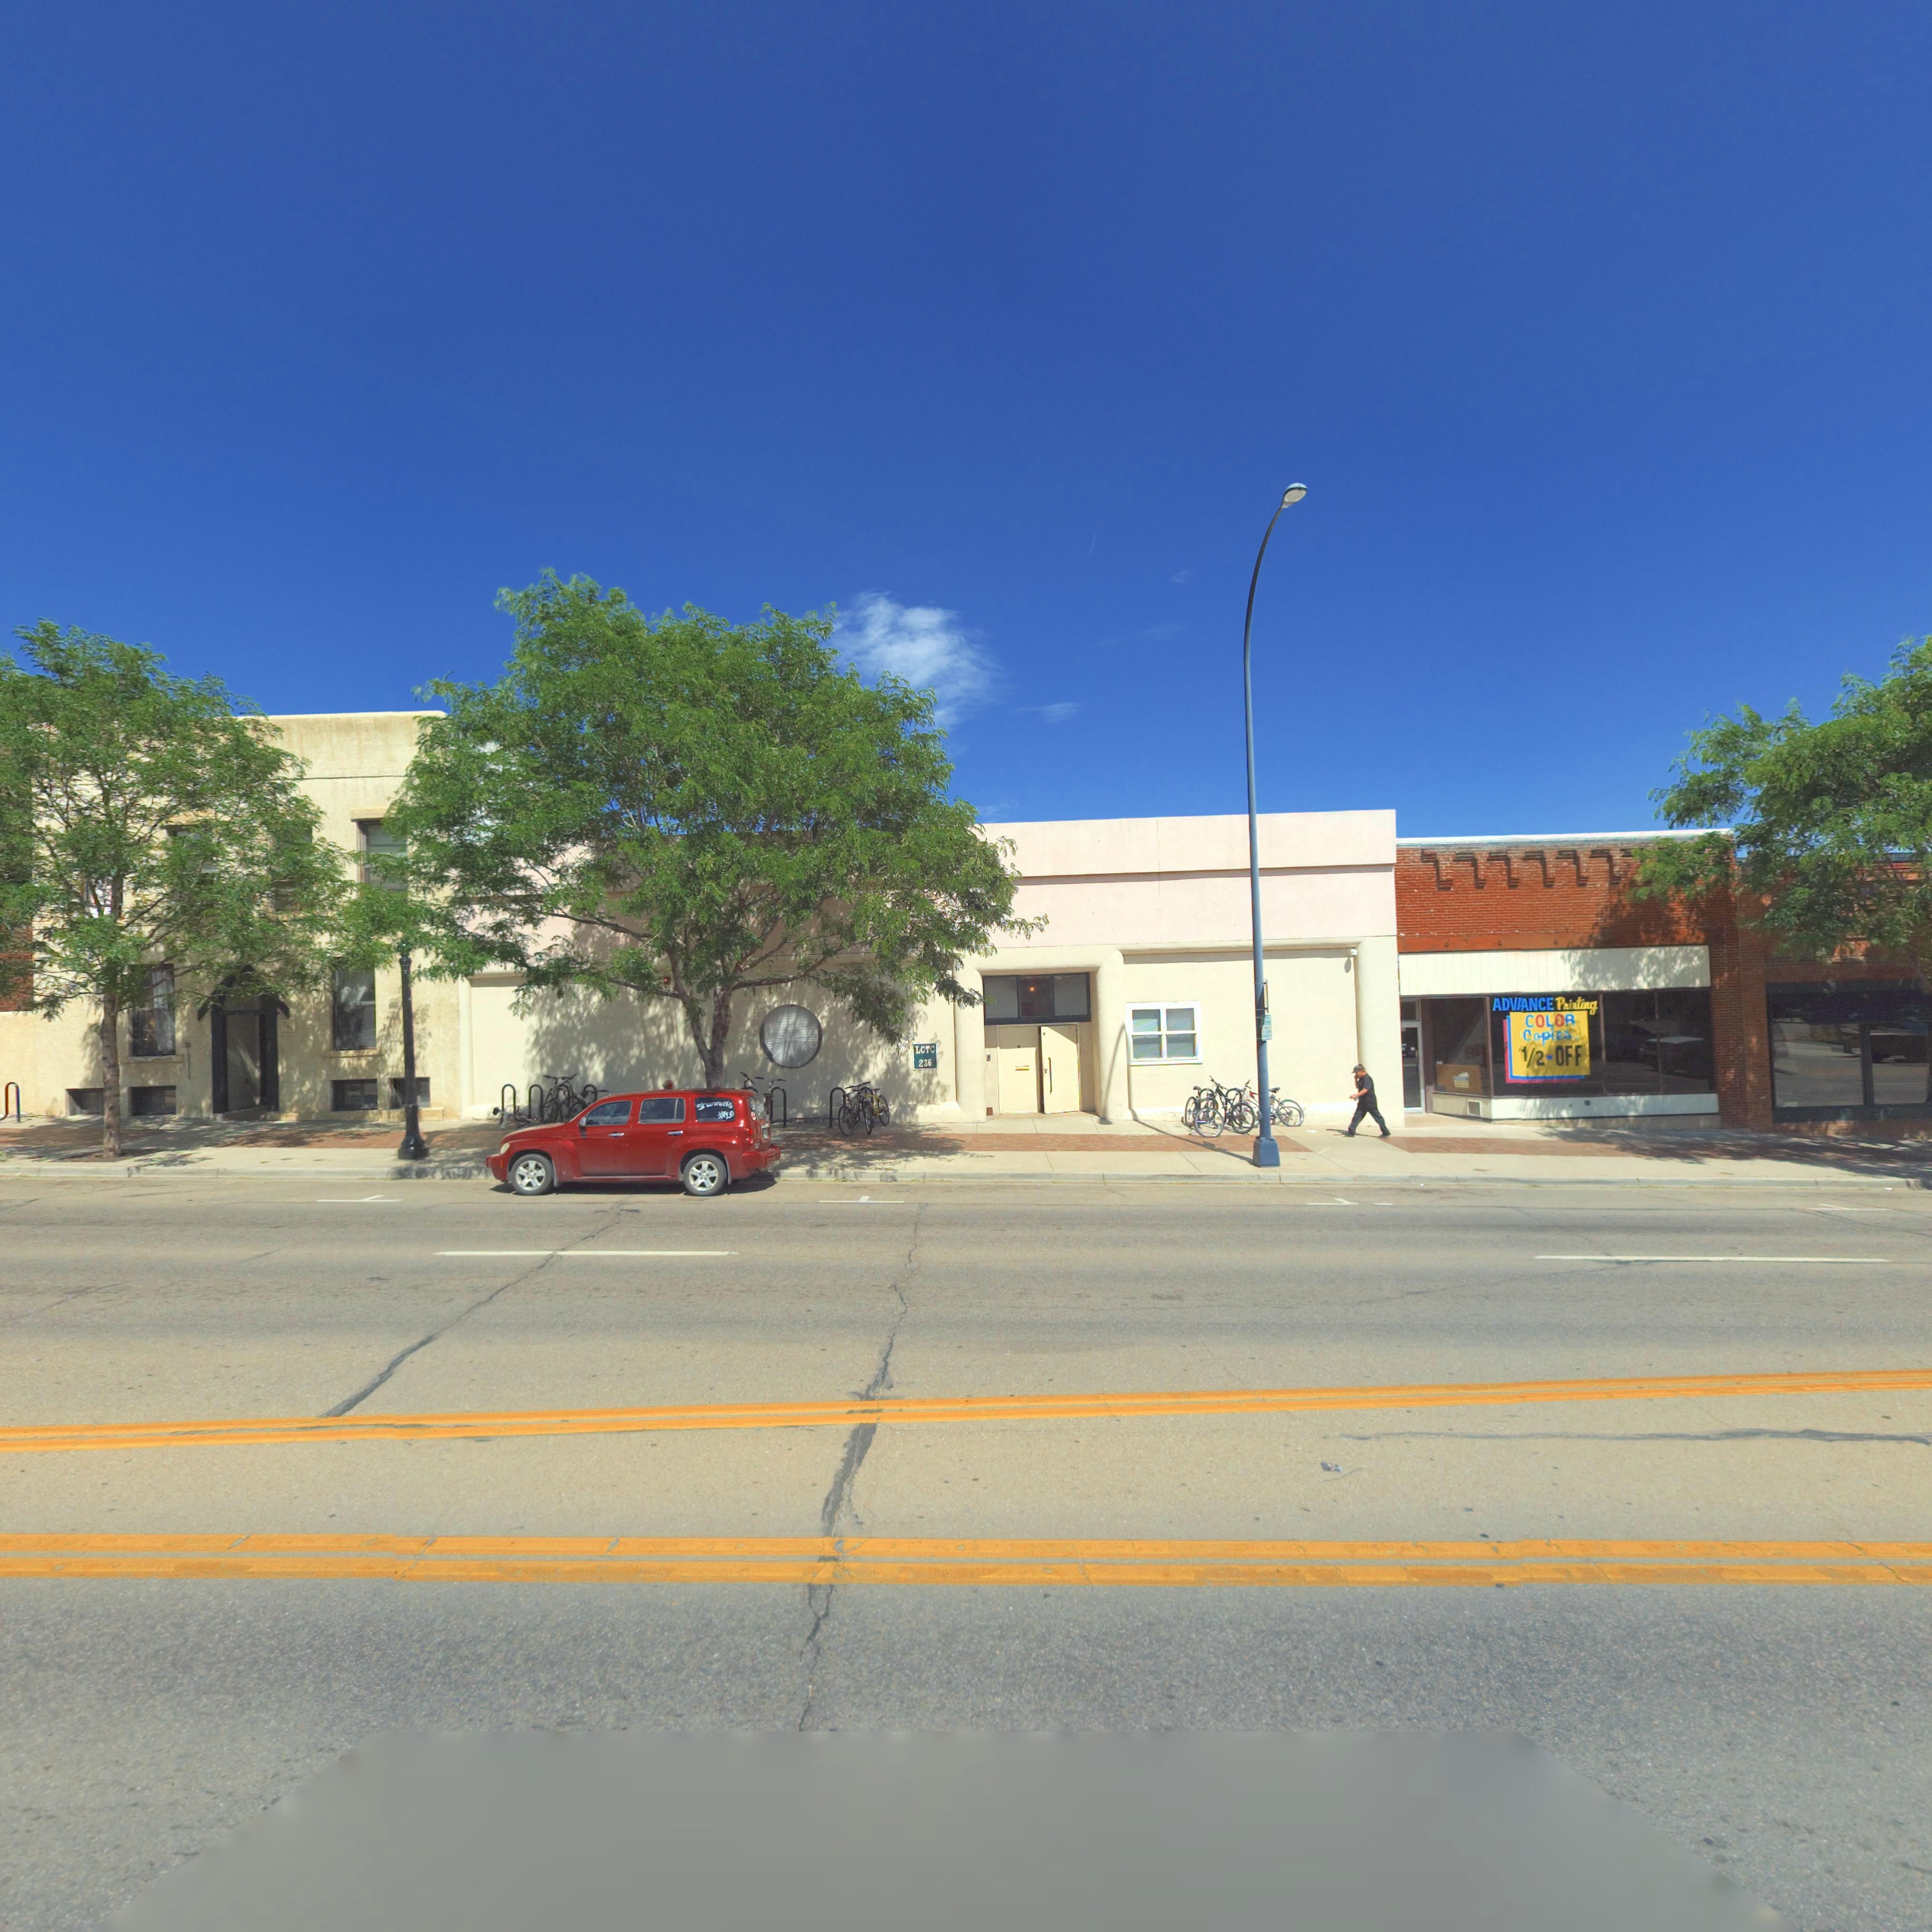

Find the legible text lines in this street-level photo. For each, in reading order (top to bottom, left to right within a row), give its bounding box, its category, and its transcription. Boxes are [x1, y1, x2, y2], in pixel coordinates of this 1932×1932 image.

[1491, 995, 1600, 1016] BusinessName: ADV*CE Printing
[918, 1058, 932, 1067] StreetNumber: 236